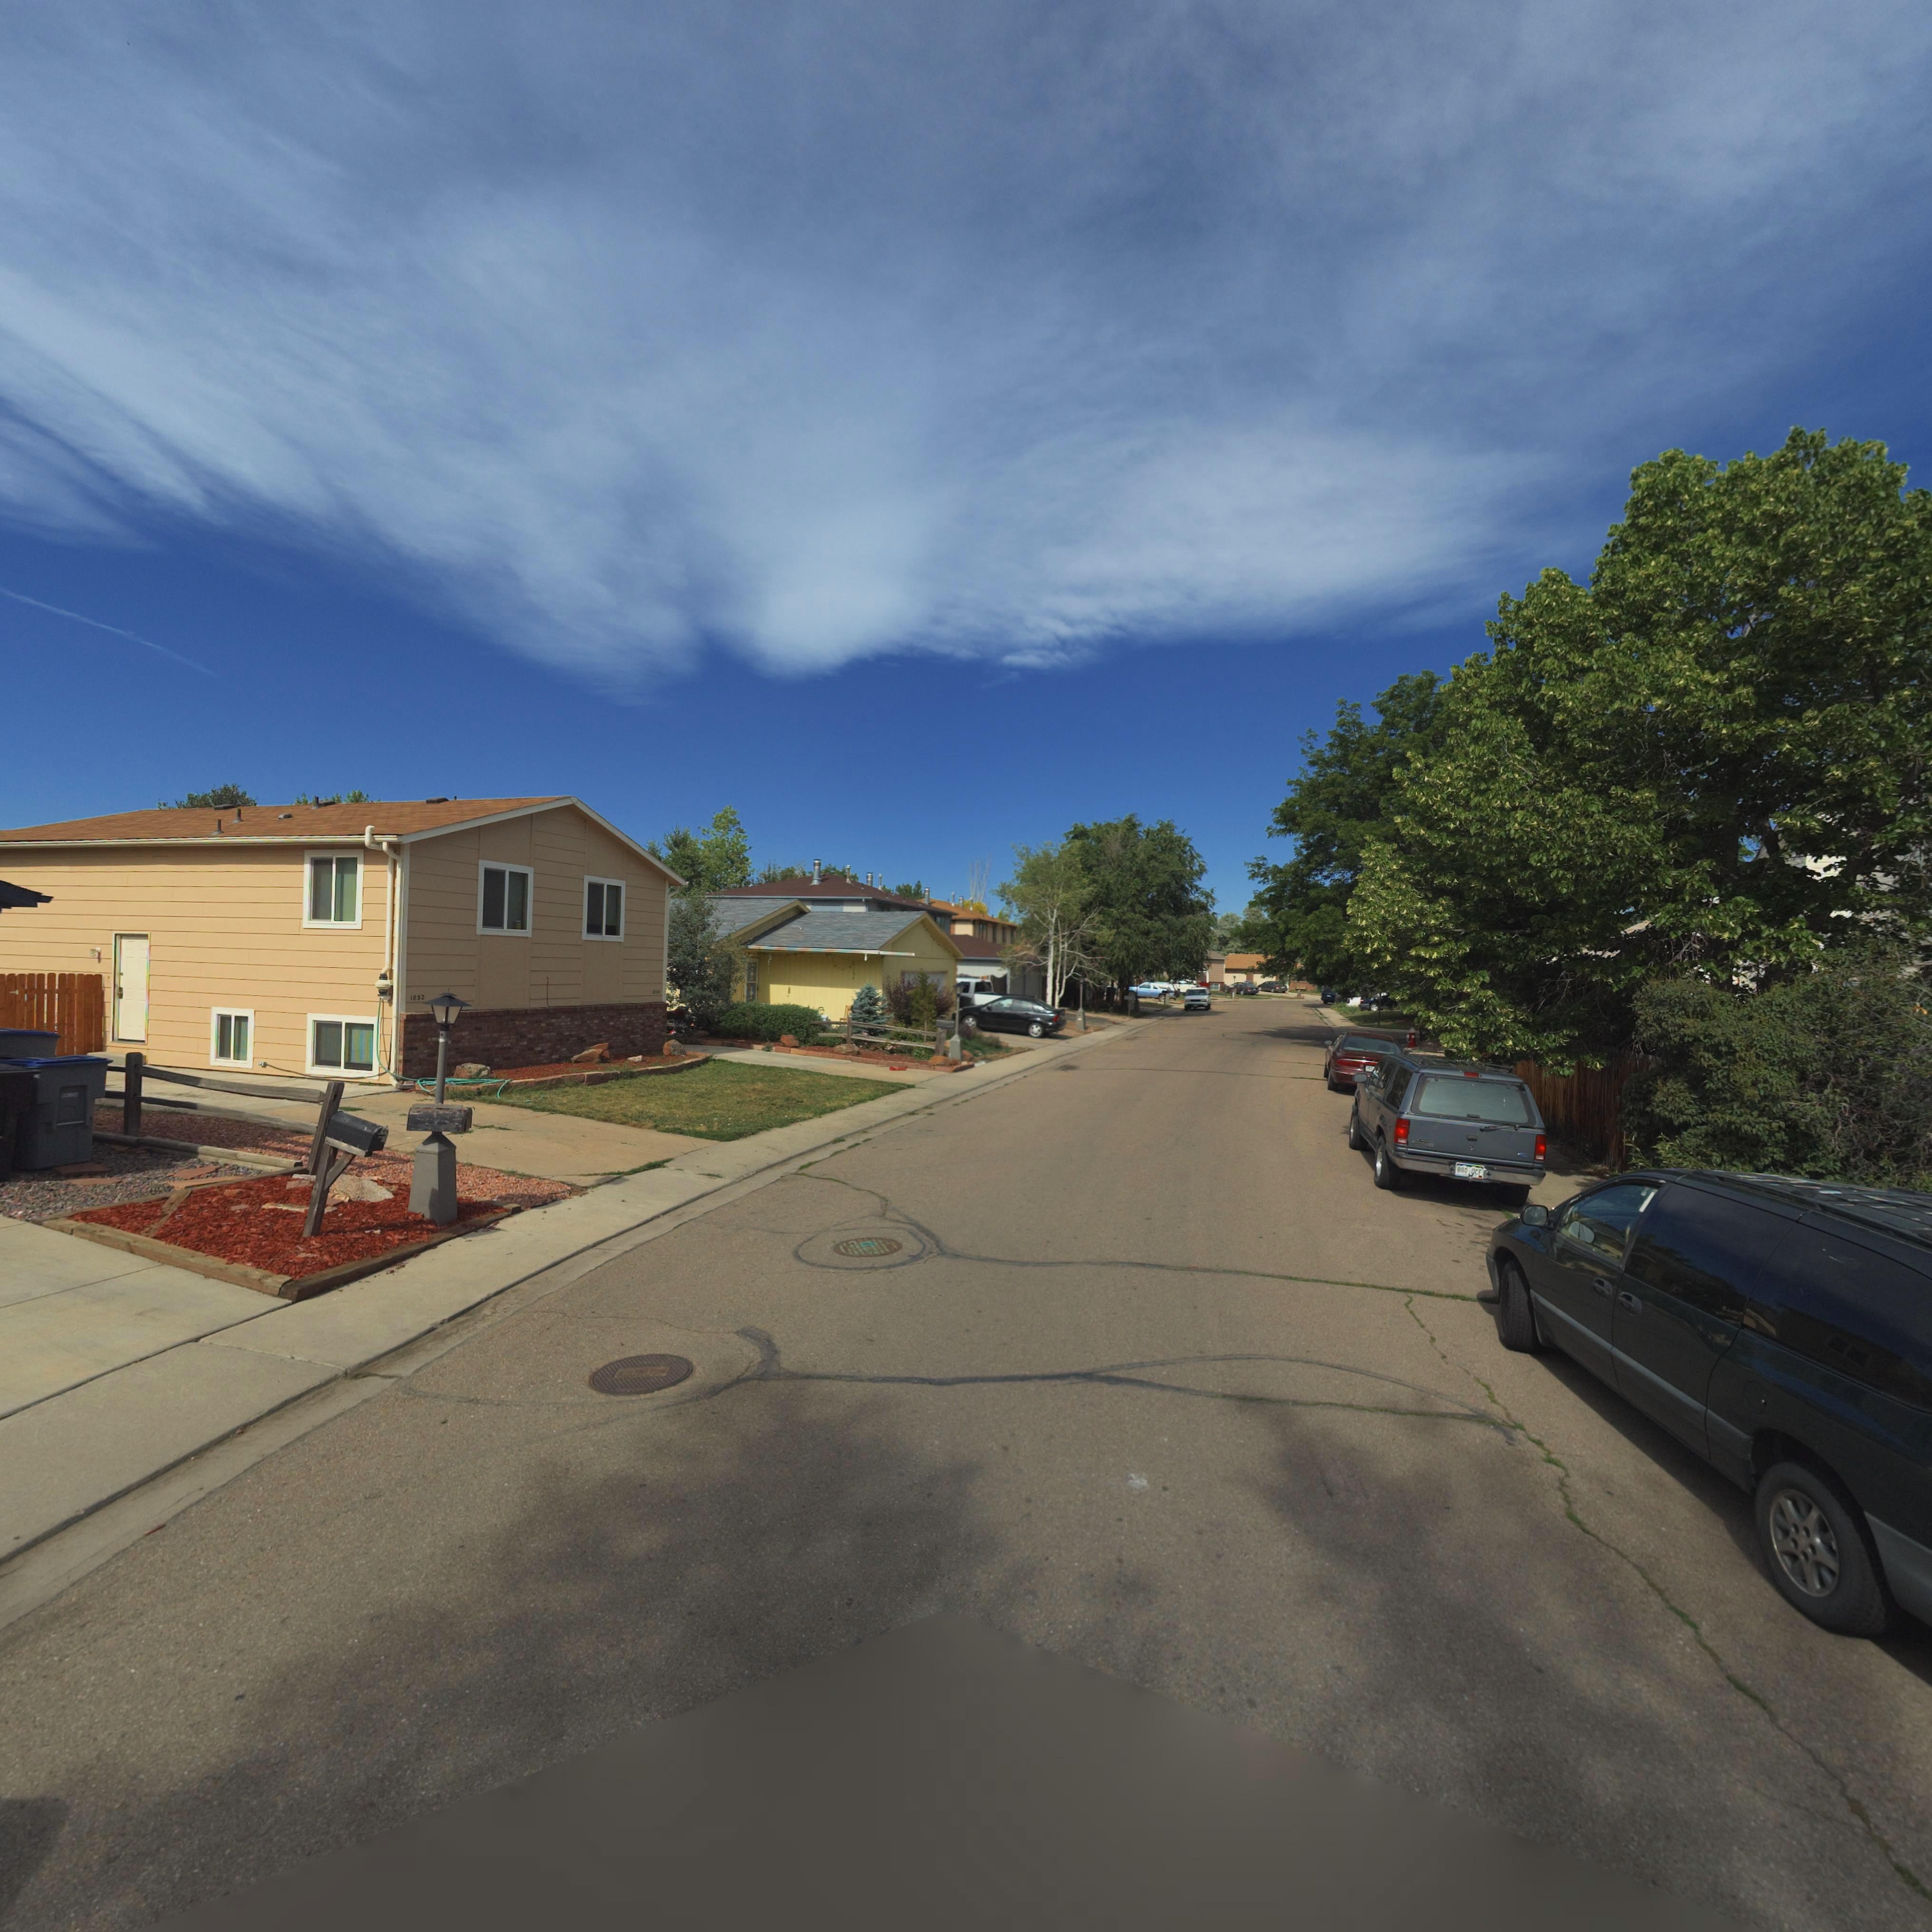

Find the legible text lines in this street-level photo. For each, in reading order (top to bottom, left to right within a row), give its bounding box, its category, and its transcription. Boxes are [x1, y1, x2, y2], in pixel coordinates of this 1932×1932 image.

[651, 989, 660, 995] StreetNumber: **3*
[410, 994, 425, 1001] StreetNumber: 1832